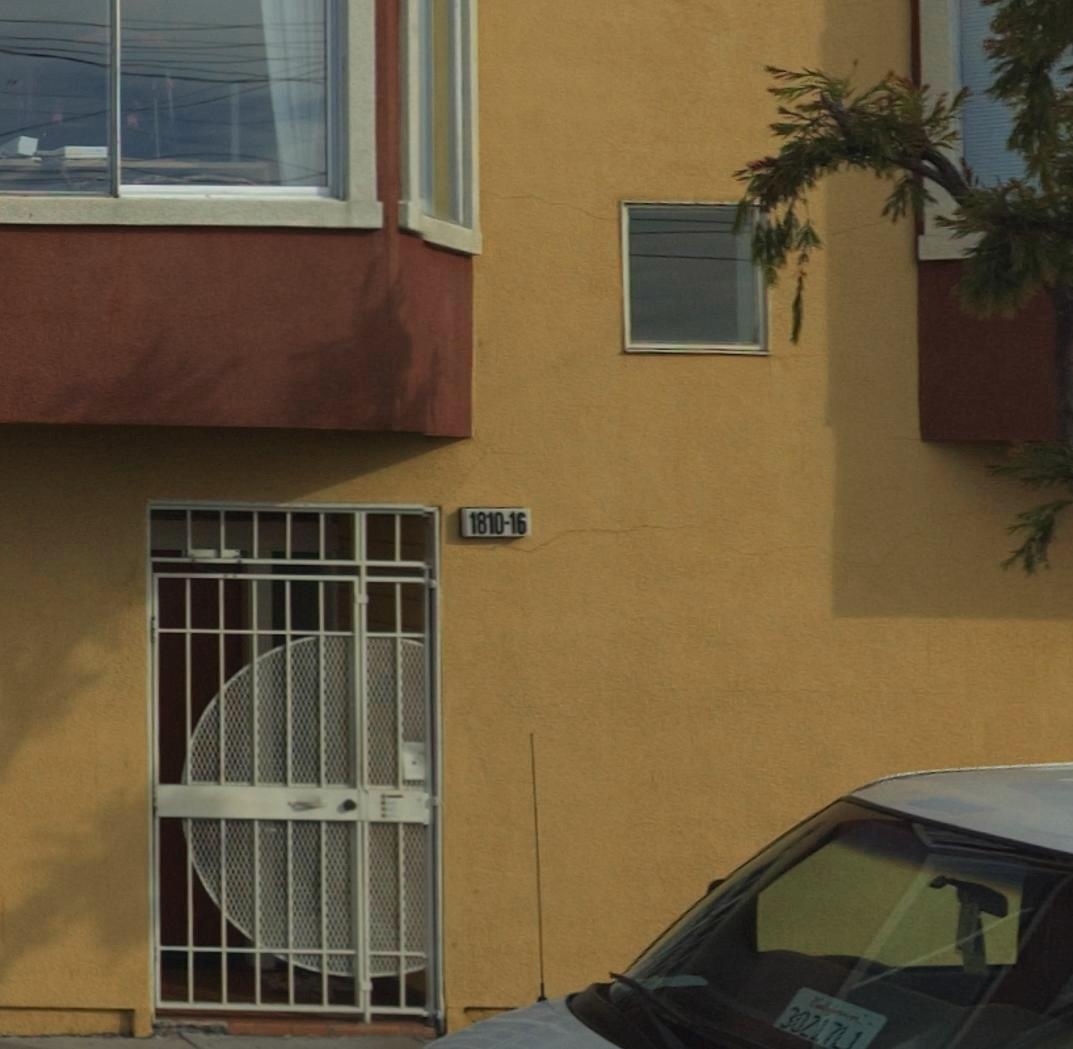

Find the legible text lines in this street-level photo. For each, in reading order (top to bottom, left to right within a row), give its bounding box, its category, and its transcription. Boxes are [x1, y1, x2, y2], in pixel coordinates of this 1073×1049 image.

[467, 510, 505, 536] StreetNumber: 1810
[508, 510, 528, 535] StreetNumber: 16
[776, 1004, 870, 1049] None: 30217**